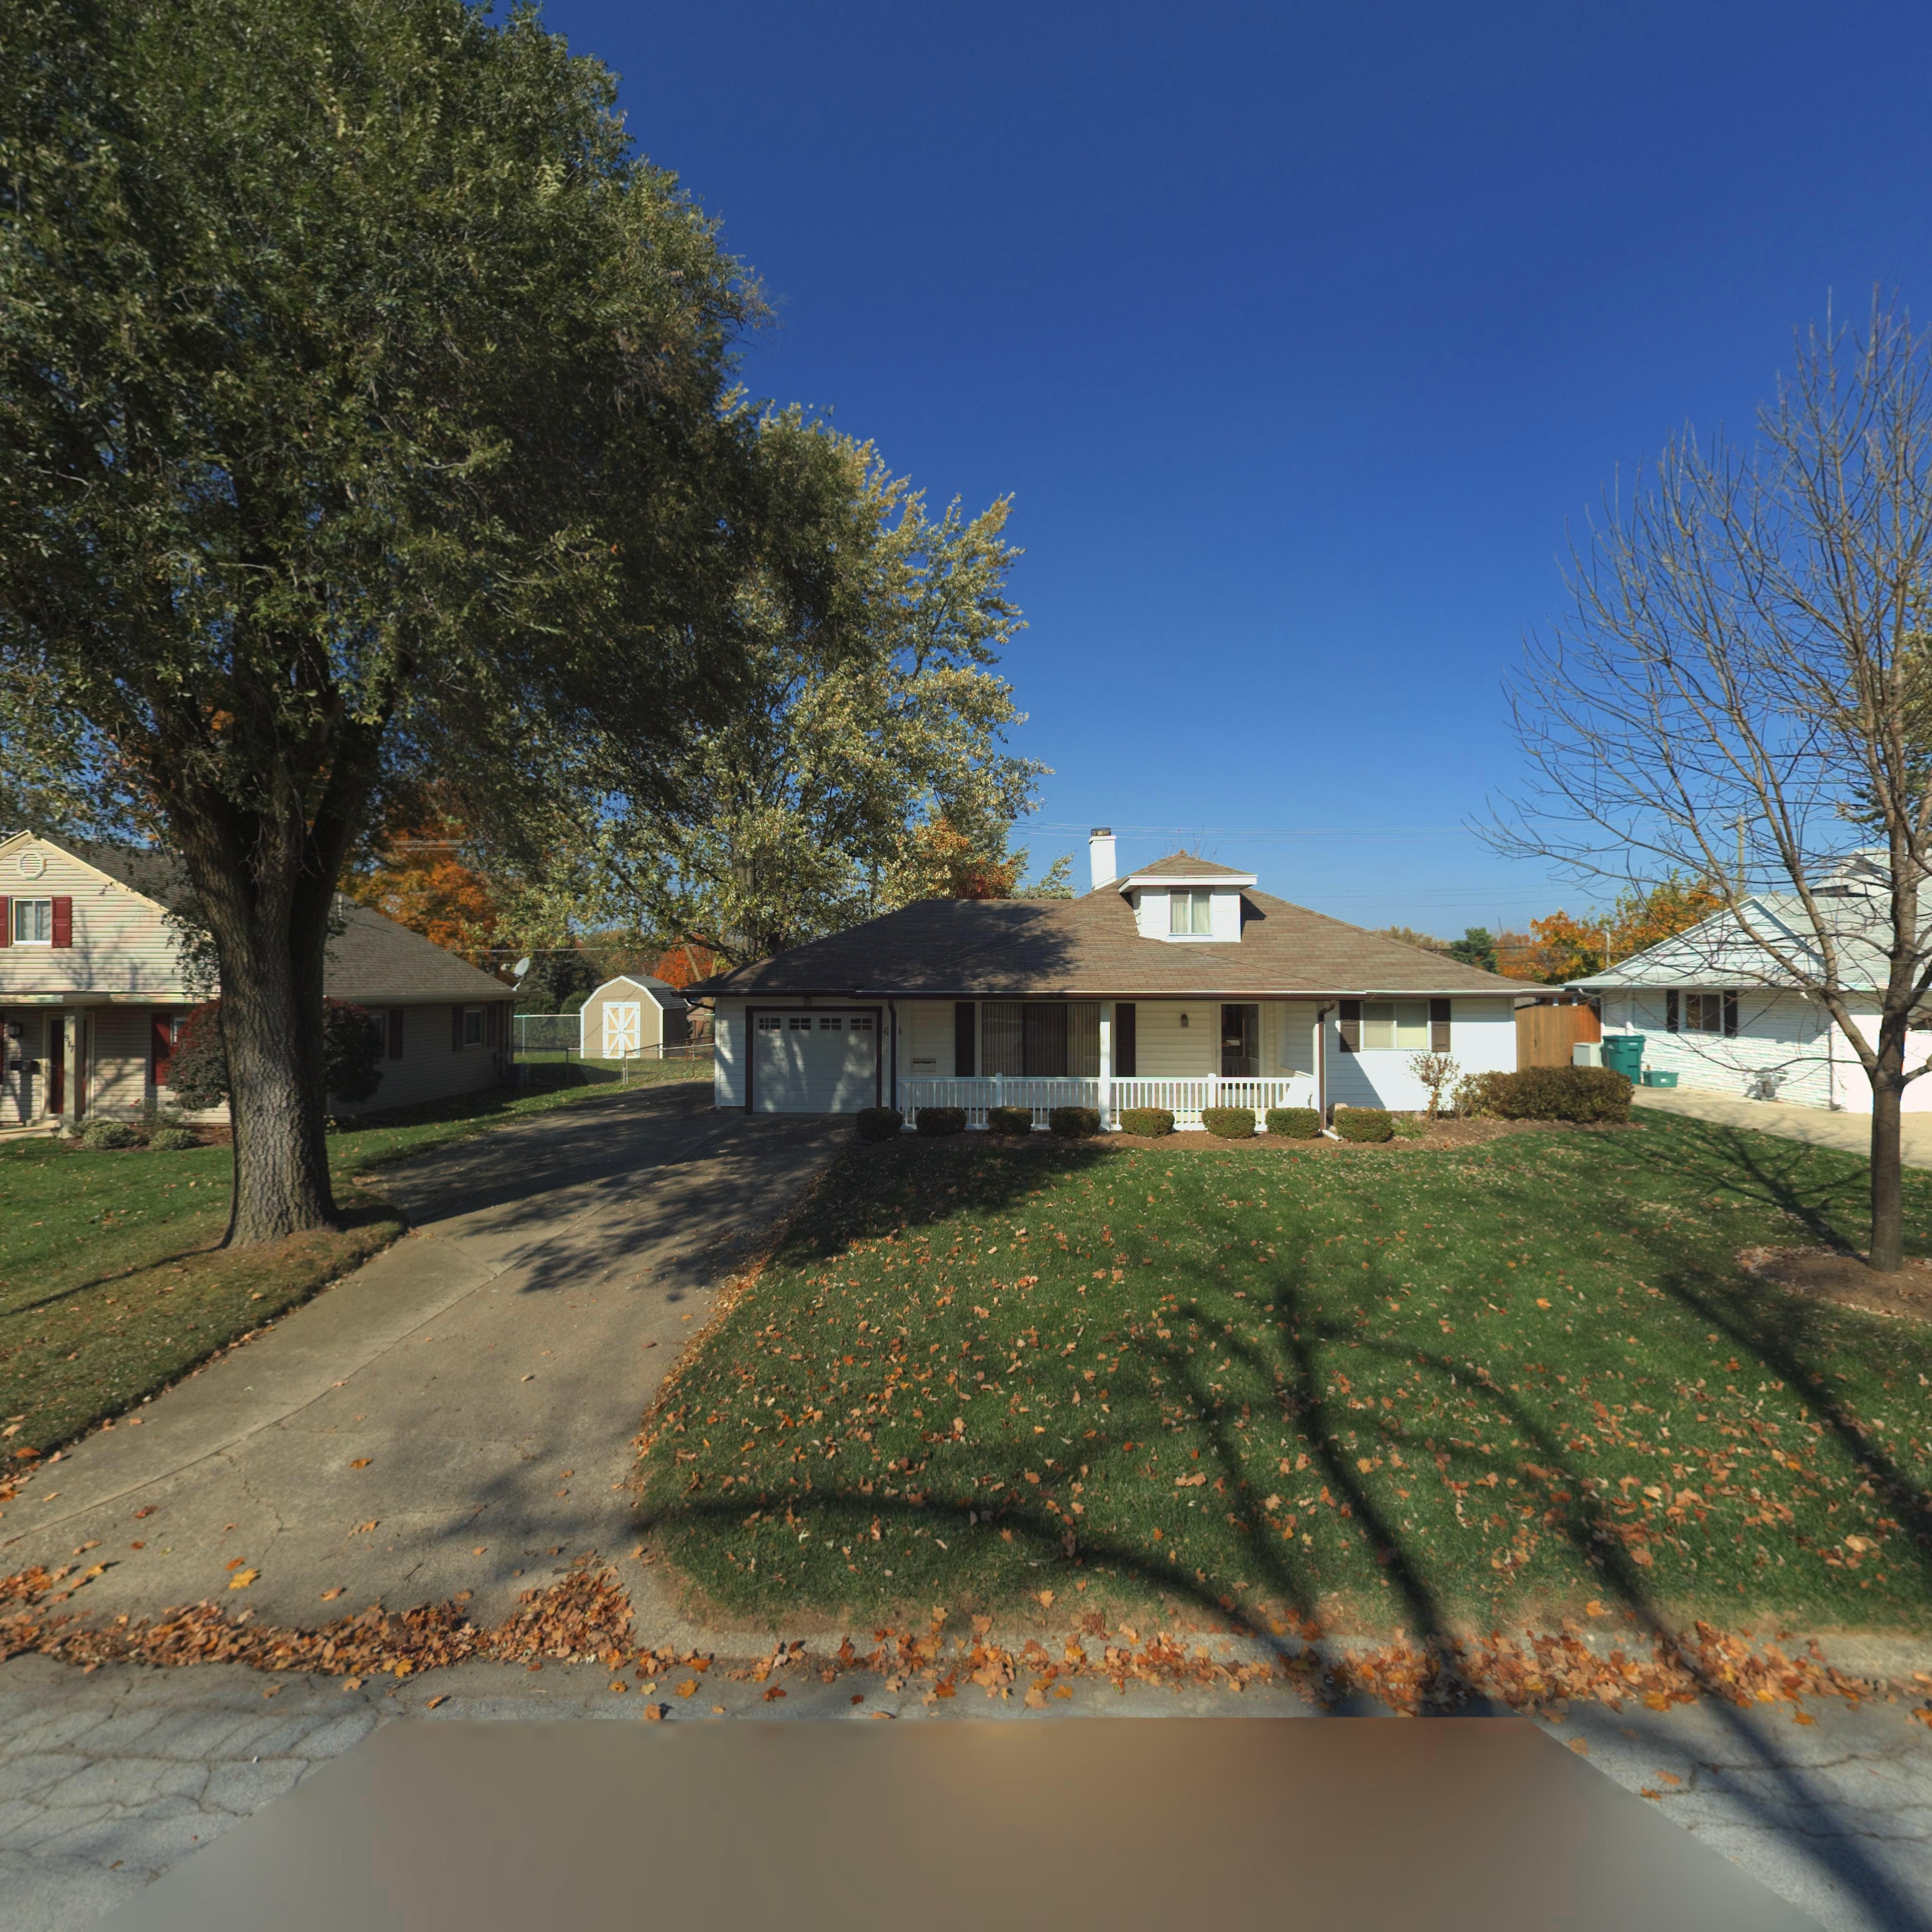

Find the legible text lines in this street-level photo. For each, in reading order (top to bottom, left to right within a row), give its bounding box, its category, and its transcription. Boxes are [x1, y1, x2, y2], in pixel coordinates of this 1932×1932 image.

[63, 1033, 76, 1053] StreetNumber: 917